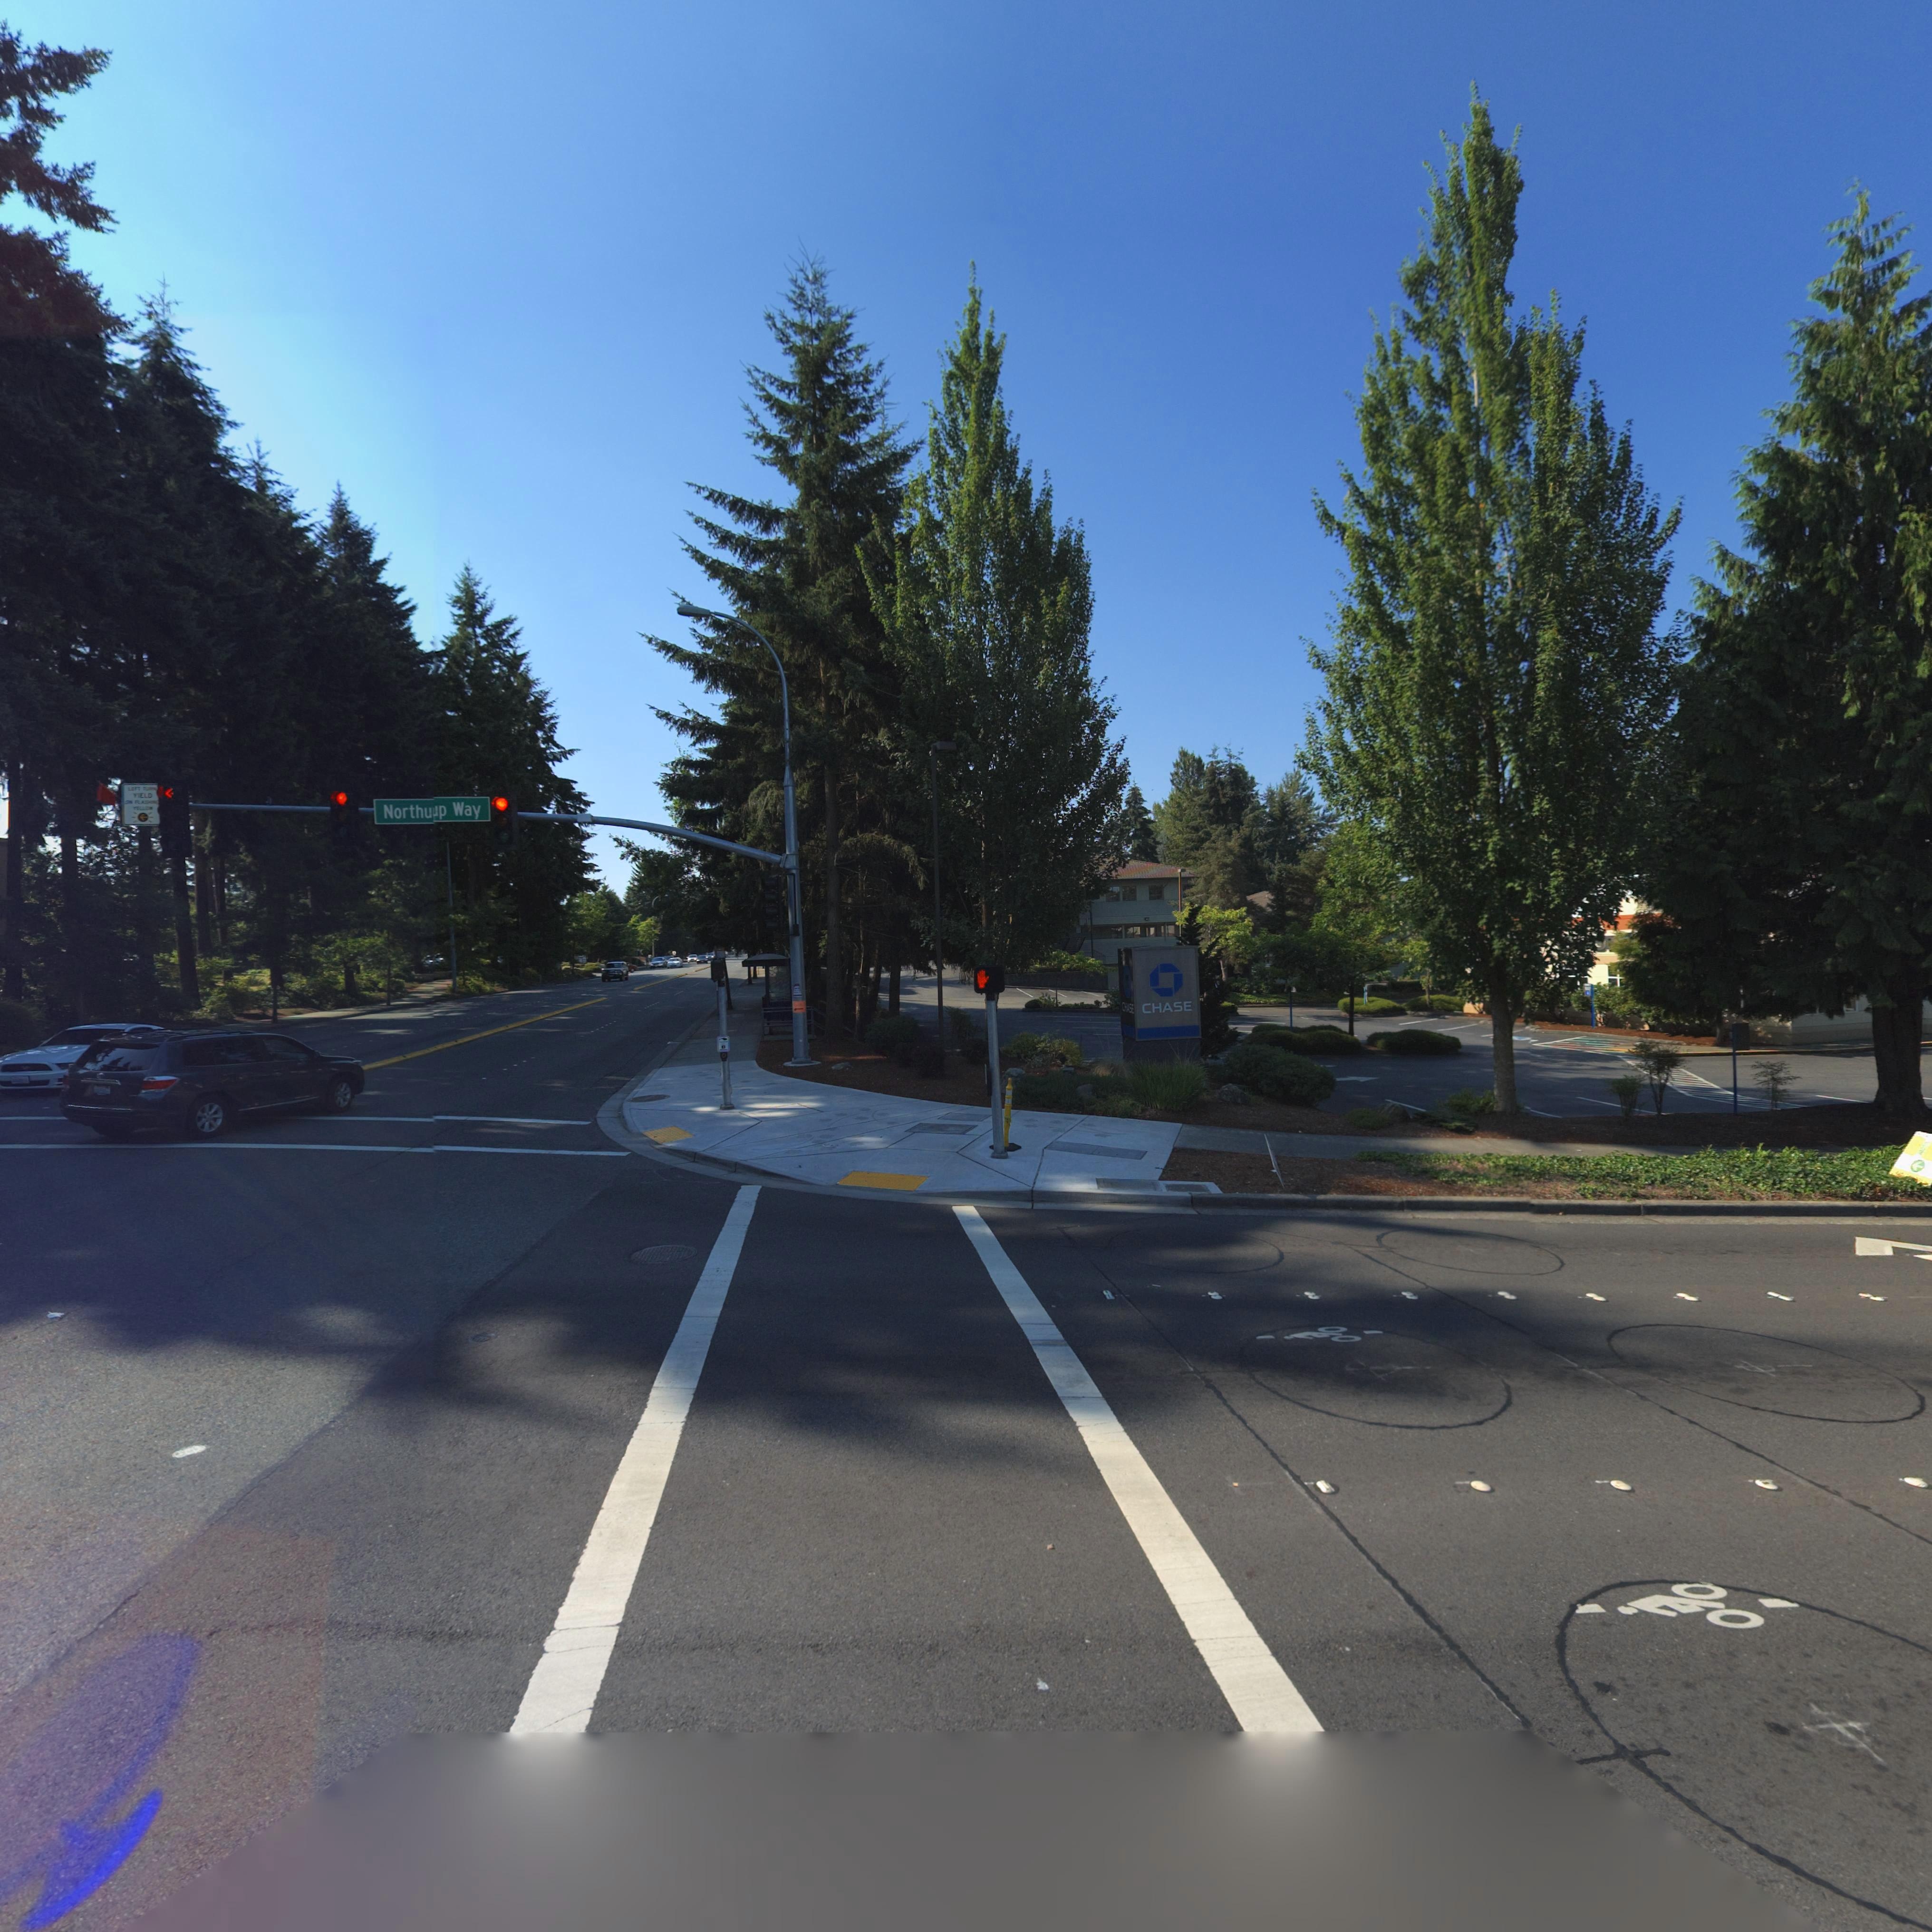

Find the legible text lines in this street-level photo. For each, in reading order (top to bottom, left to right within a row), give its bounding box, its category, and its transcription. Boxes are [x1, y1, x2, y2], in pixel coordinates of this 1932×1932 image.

[384, 802, 480, 819] StreetName: Northu*p Way
[1121, 1001, 1134, 1014] BusinessName: CHASE
[1141, 1000, 1192, 1014] BusinessName: CHASE